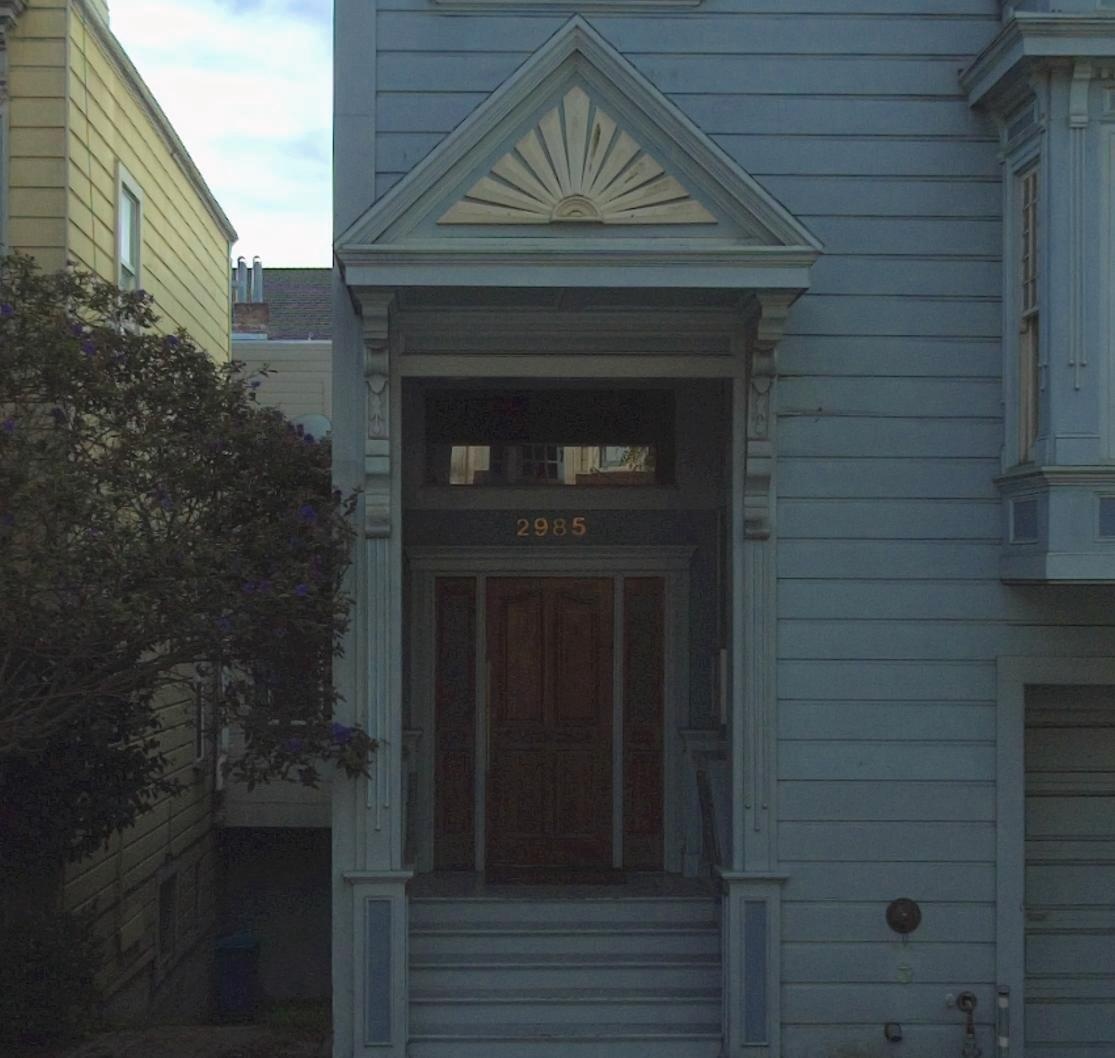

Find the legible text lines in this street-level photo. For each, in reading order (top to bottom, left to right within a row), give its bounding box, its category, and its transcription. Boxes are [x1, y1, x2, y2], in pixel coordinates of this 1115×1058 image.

[514, 513, 589, 539] StreetNumber: 2985